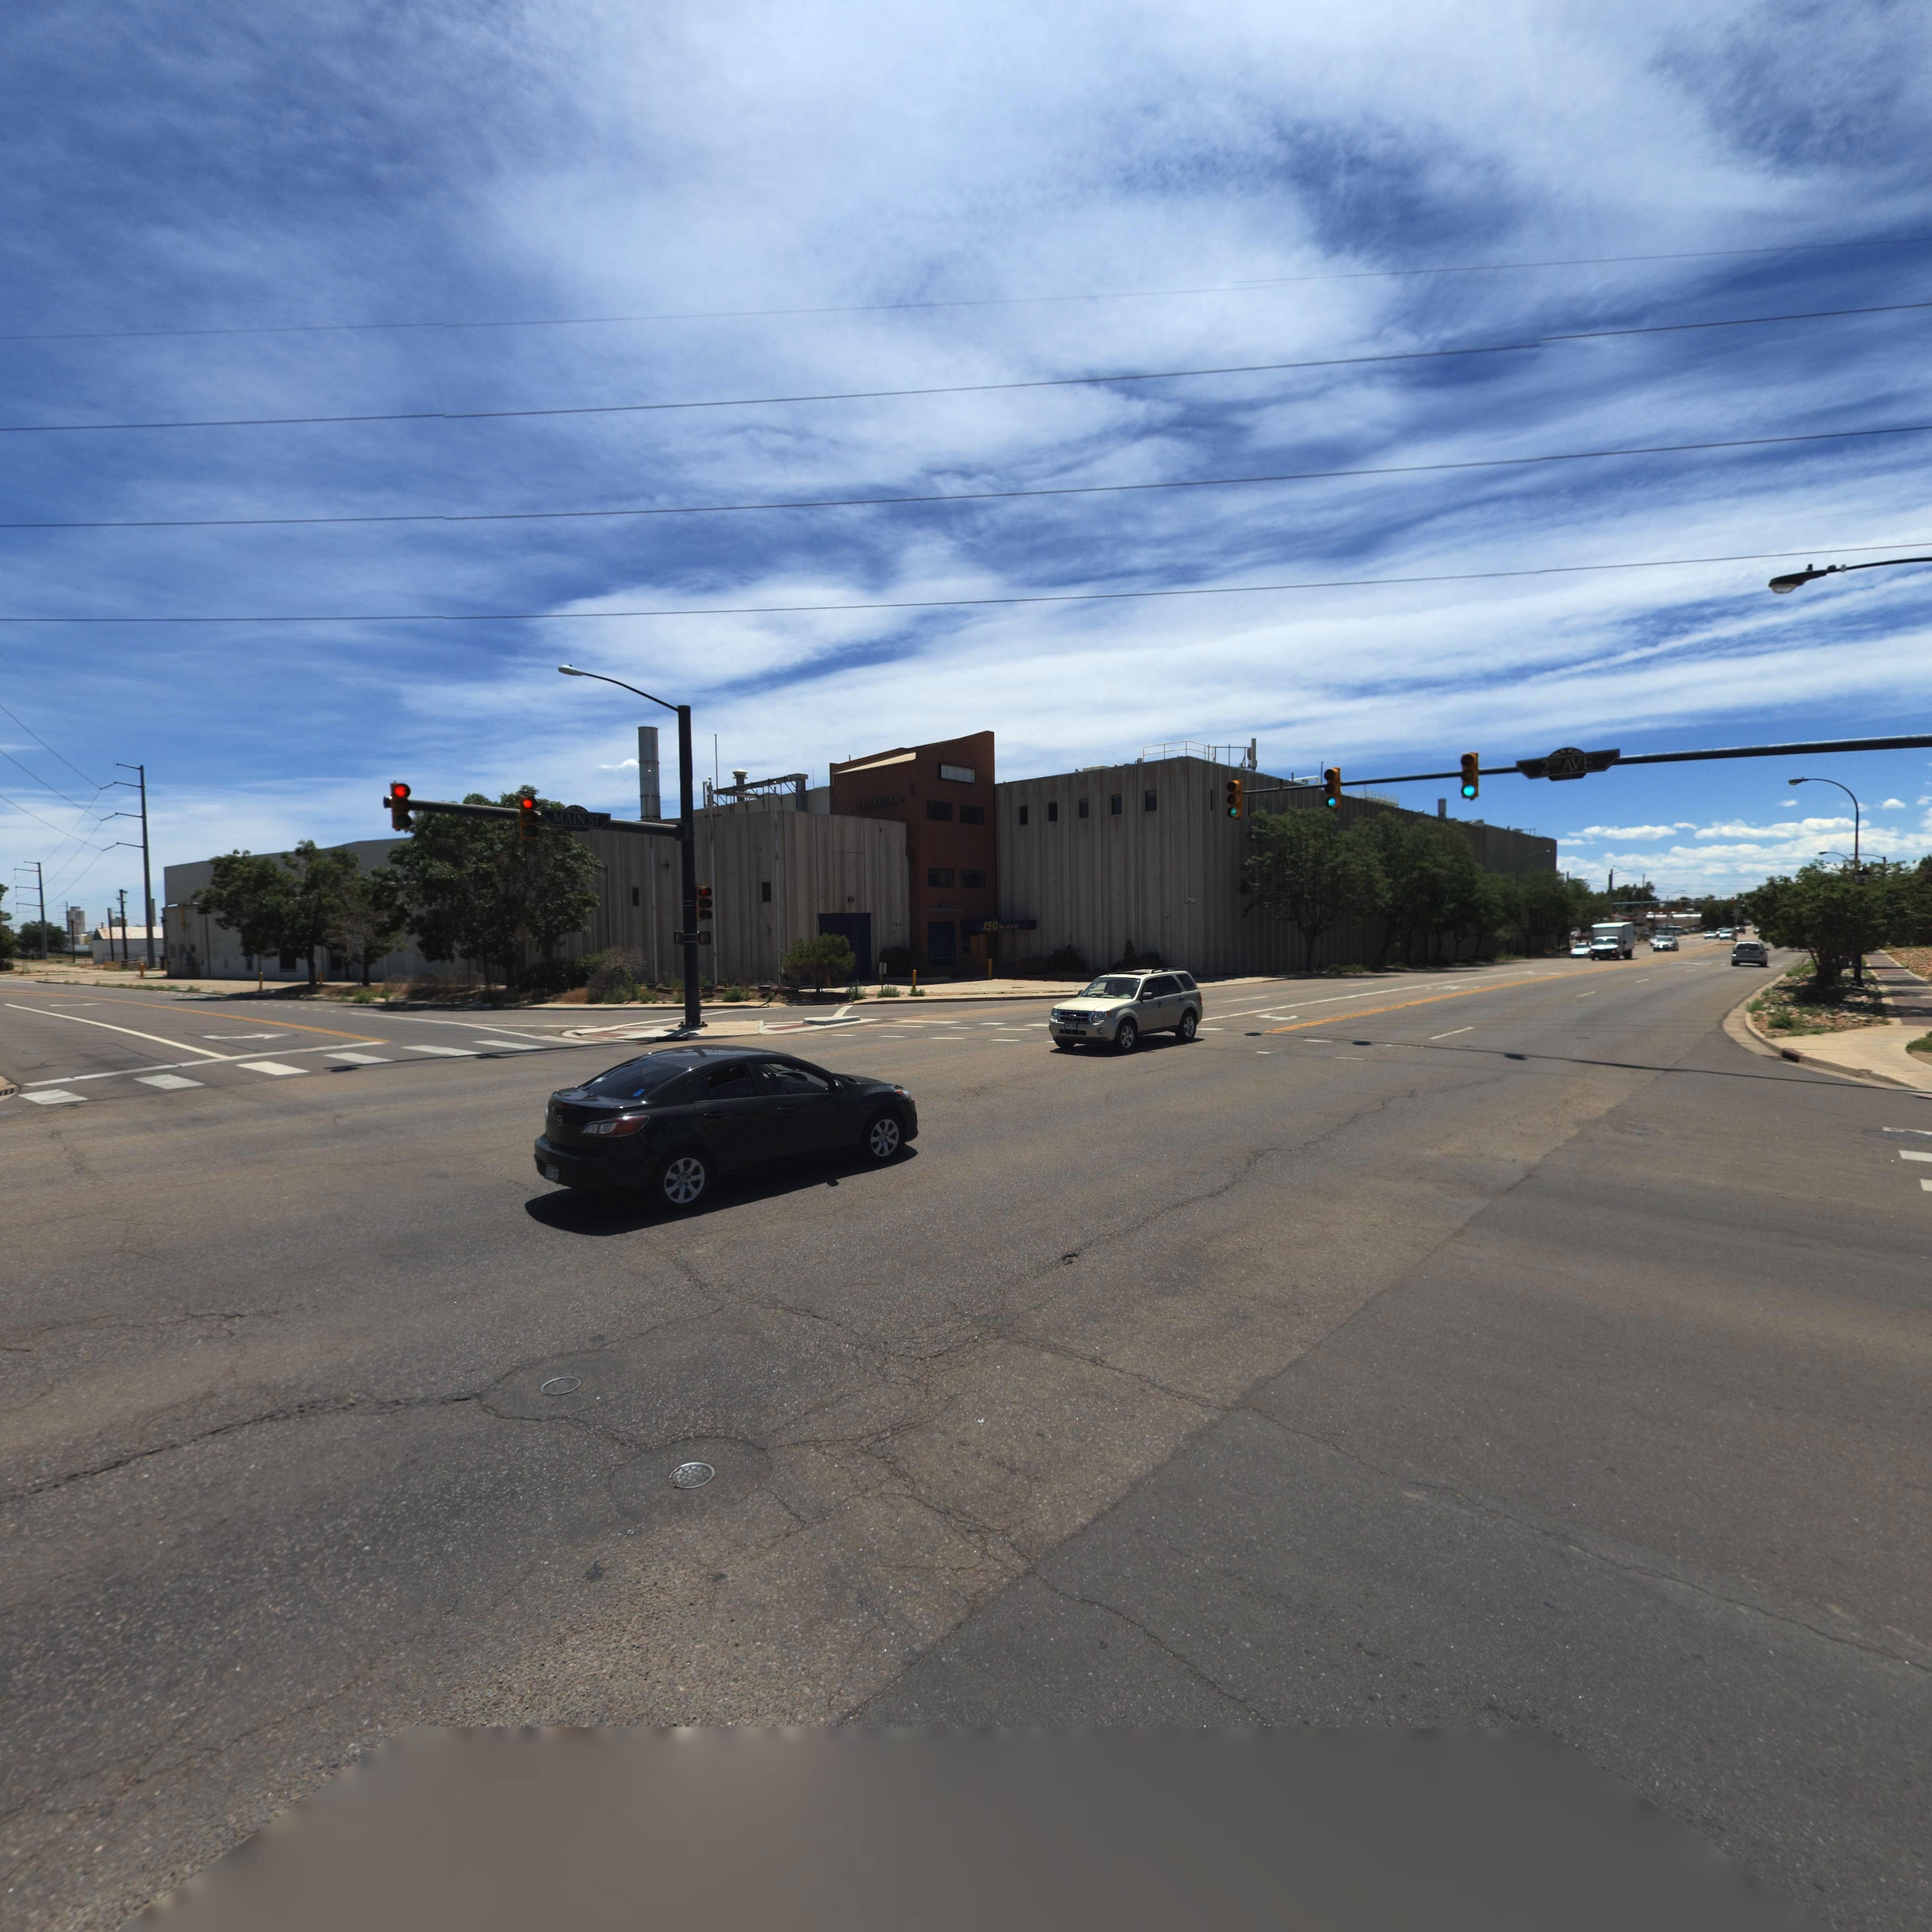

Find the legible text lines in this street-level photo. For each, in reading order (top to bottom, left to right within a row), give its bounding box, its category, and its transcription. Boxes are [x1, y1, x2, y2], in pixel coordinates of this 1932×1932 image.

[1539, 754, 1594, 774] StreetName: 2ND AVE
[554, 812, 599, 825] StreetName: MAIN ST
[983, 921, 998, 931] StreetNumber: 150
[999, 924, 1018, 929] StreetName: MAIN